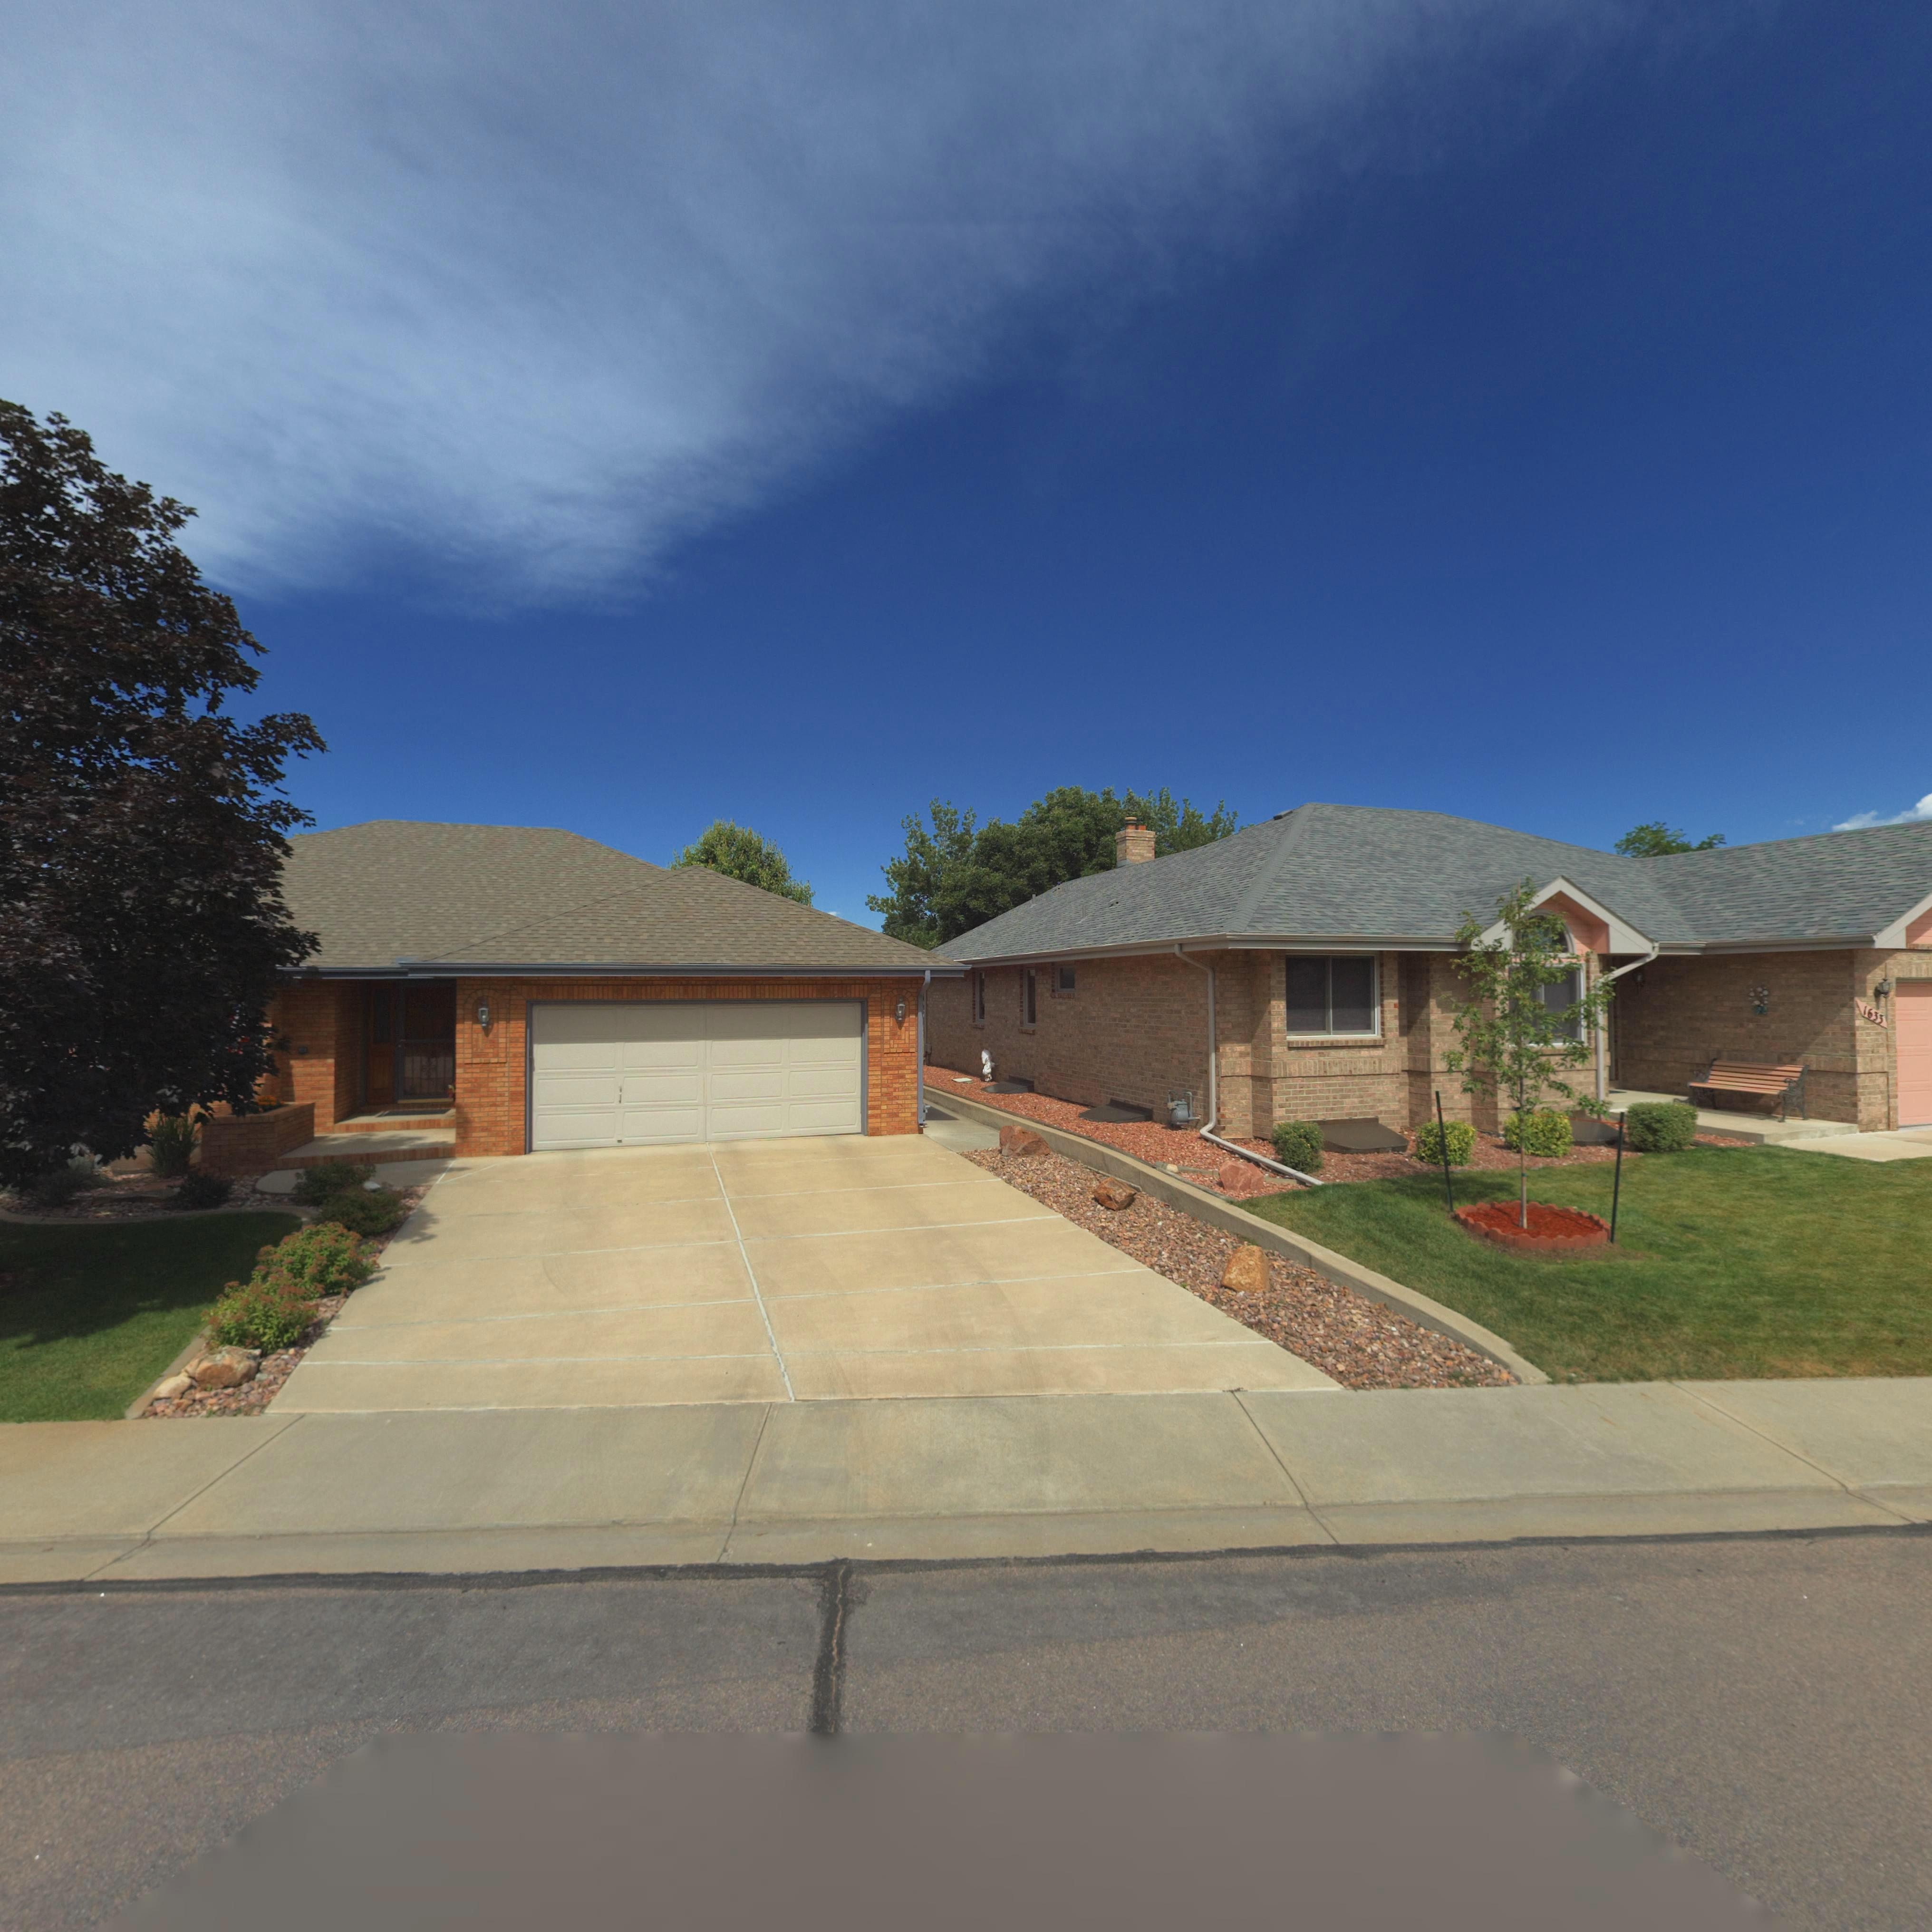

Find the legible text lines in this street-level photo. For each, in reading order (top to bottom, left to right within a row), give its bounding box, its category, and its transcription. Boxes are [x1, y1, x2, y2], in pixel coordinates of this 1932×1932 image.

[1863, 1005, 1884, 1024] StreetNumber: 1633